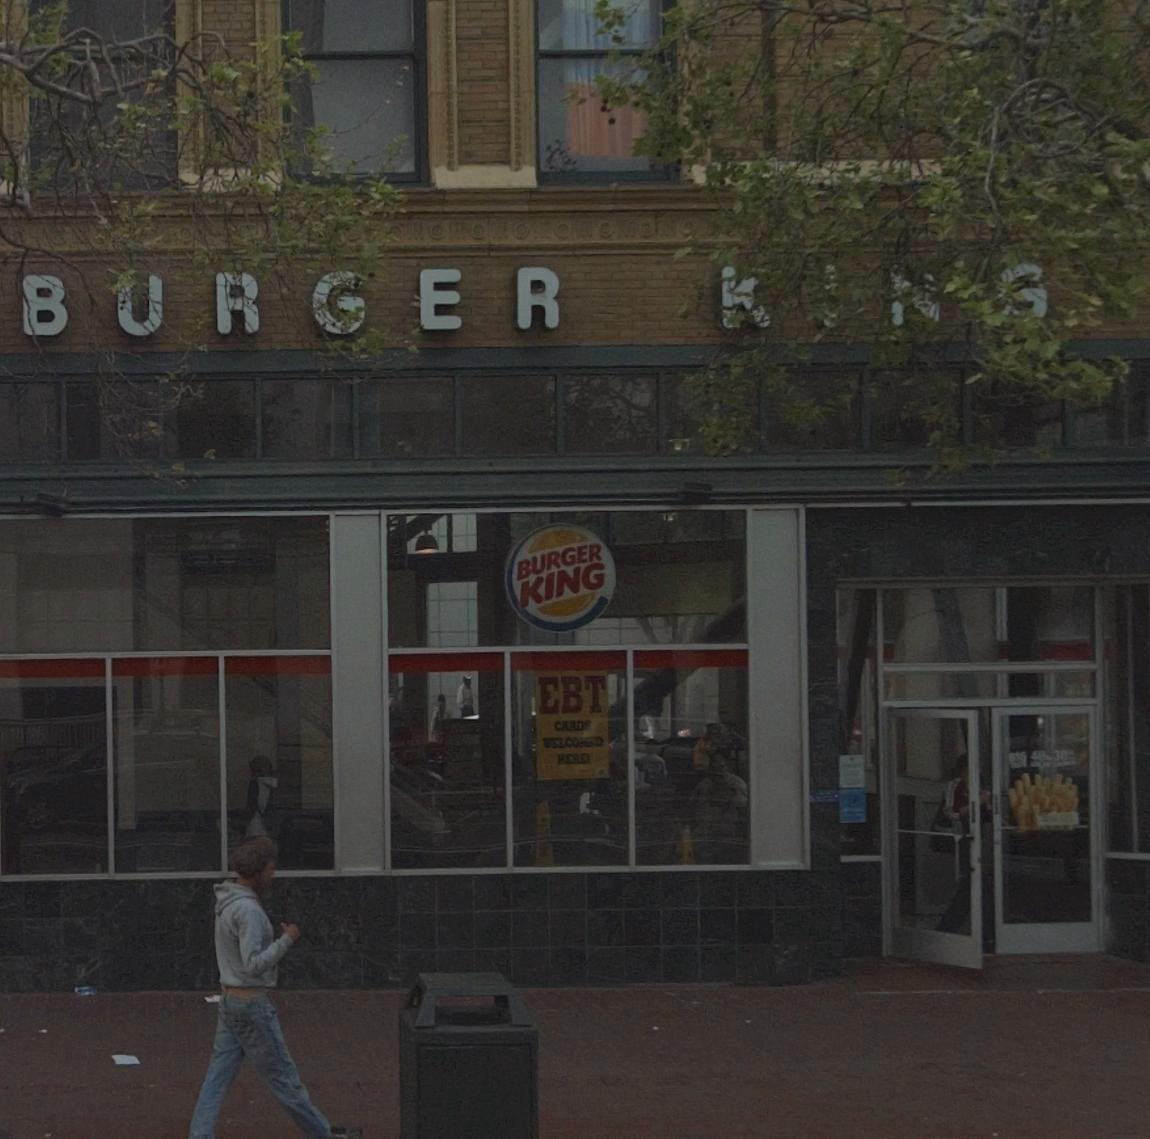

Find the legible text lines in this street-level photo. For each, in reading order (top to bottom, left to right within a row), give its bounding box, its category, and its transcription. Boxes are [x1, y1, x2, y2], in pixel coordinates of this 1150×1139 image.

[16, 259, 568, 344] BusinessName: BUR*ER
[513, 539, 604, 585] BusinessName: BURGER
[516, 559, 608, 612] BusinessName: KING
[535, 672, 609, 716] None: EBT
[552, 717, 595, 735] None: CARD*
[538, 733, 607, 751] None: WELCO**D
[555, 750, 594, 768] None: HERE
[1027, 746, 1048, 765] None: 40
[1051, 746, 1071, 764] None: 30